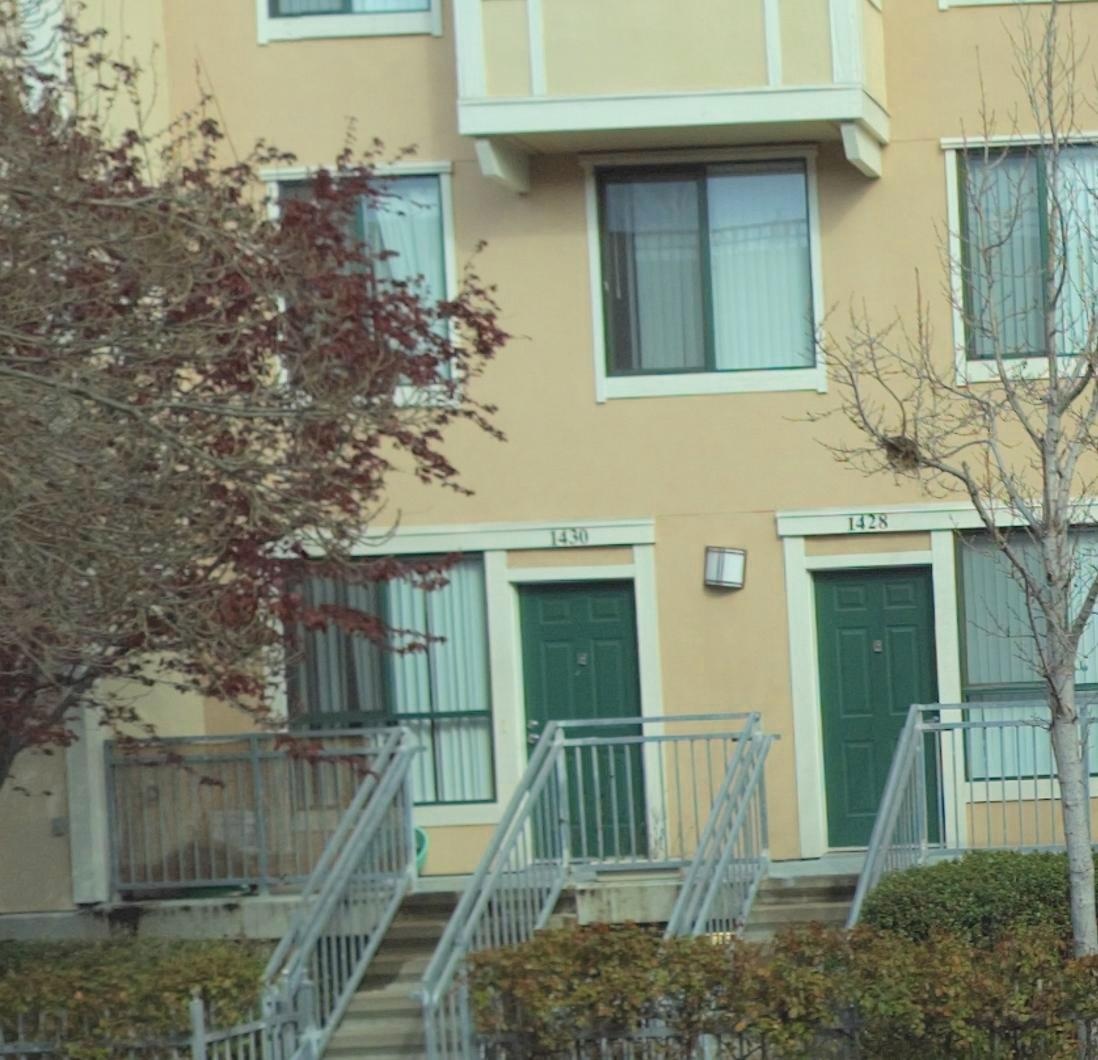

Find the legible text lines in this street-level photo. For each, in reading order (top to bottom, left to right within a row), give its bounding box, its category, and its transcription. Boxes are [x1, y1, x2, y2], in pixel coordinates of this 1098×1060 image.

[845, 510, 891, 534] StreetNumber: 1428
[549, 526, 591, 549] StreetNumber: 1430